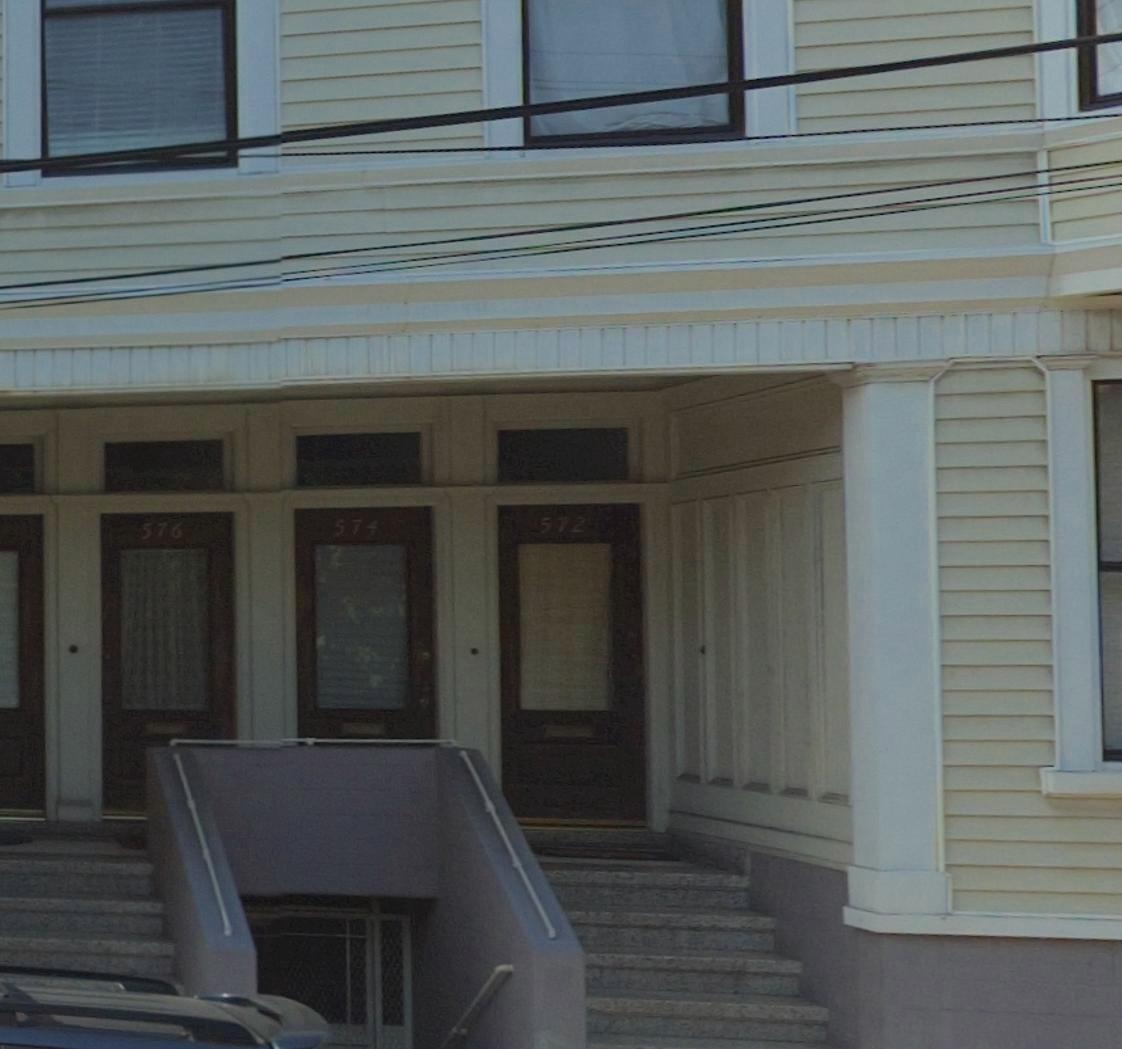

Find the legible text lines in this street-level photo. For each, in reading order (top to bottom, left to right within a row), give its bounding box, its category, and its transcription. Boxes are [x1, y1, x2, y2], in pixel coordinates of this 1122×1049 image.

[139, 519, 185, 541] StreetNumber: 576
[329, 515, 381, 538] StreetNumber: 574
[536, 512, 587, 536] StreetNumber: 572